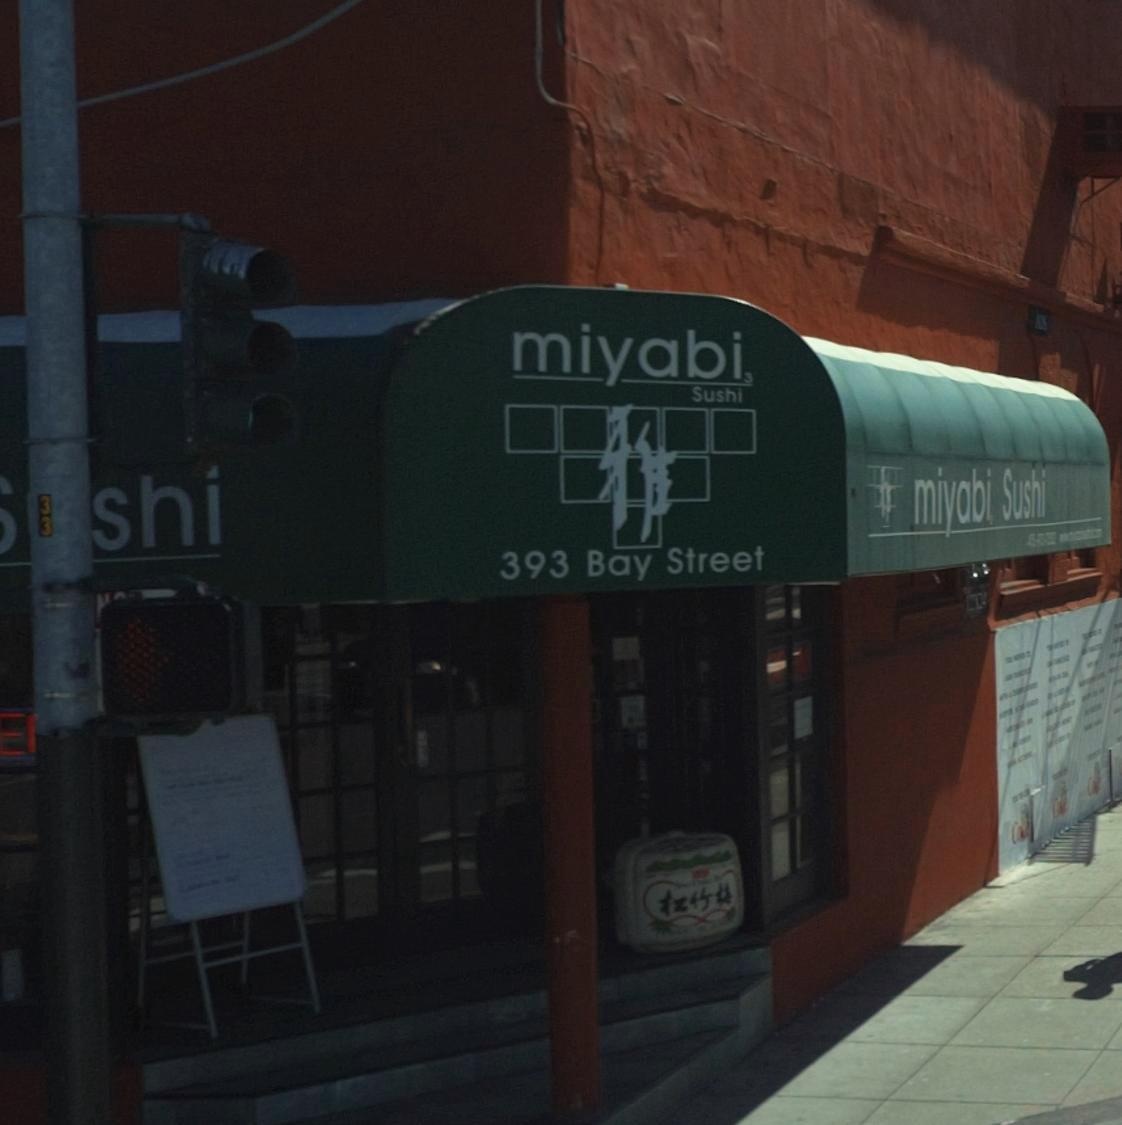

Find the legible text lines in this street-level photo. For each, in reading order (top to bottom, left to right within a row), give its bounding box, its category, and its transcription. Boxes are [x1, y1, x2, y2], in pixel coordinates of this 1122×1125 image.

[511, 322, 743, 388] BusinessName: miyabi
[691, 385, 744, 405] BusinessName: Sushi
[37, 494, 54, 538] None: 33
[88, 460, 222, 554] None: shi
[912, 464, 1046, 540] BusinessName: miyabi, Sushi
[497, 549, 571, 582] StreetNumber: 393
[585, 543, 766, 584] StreetName: Bay Street